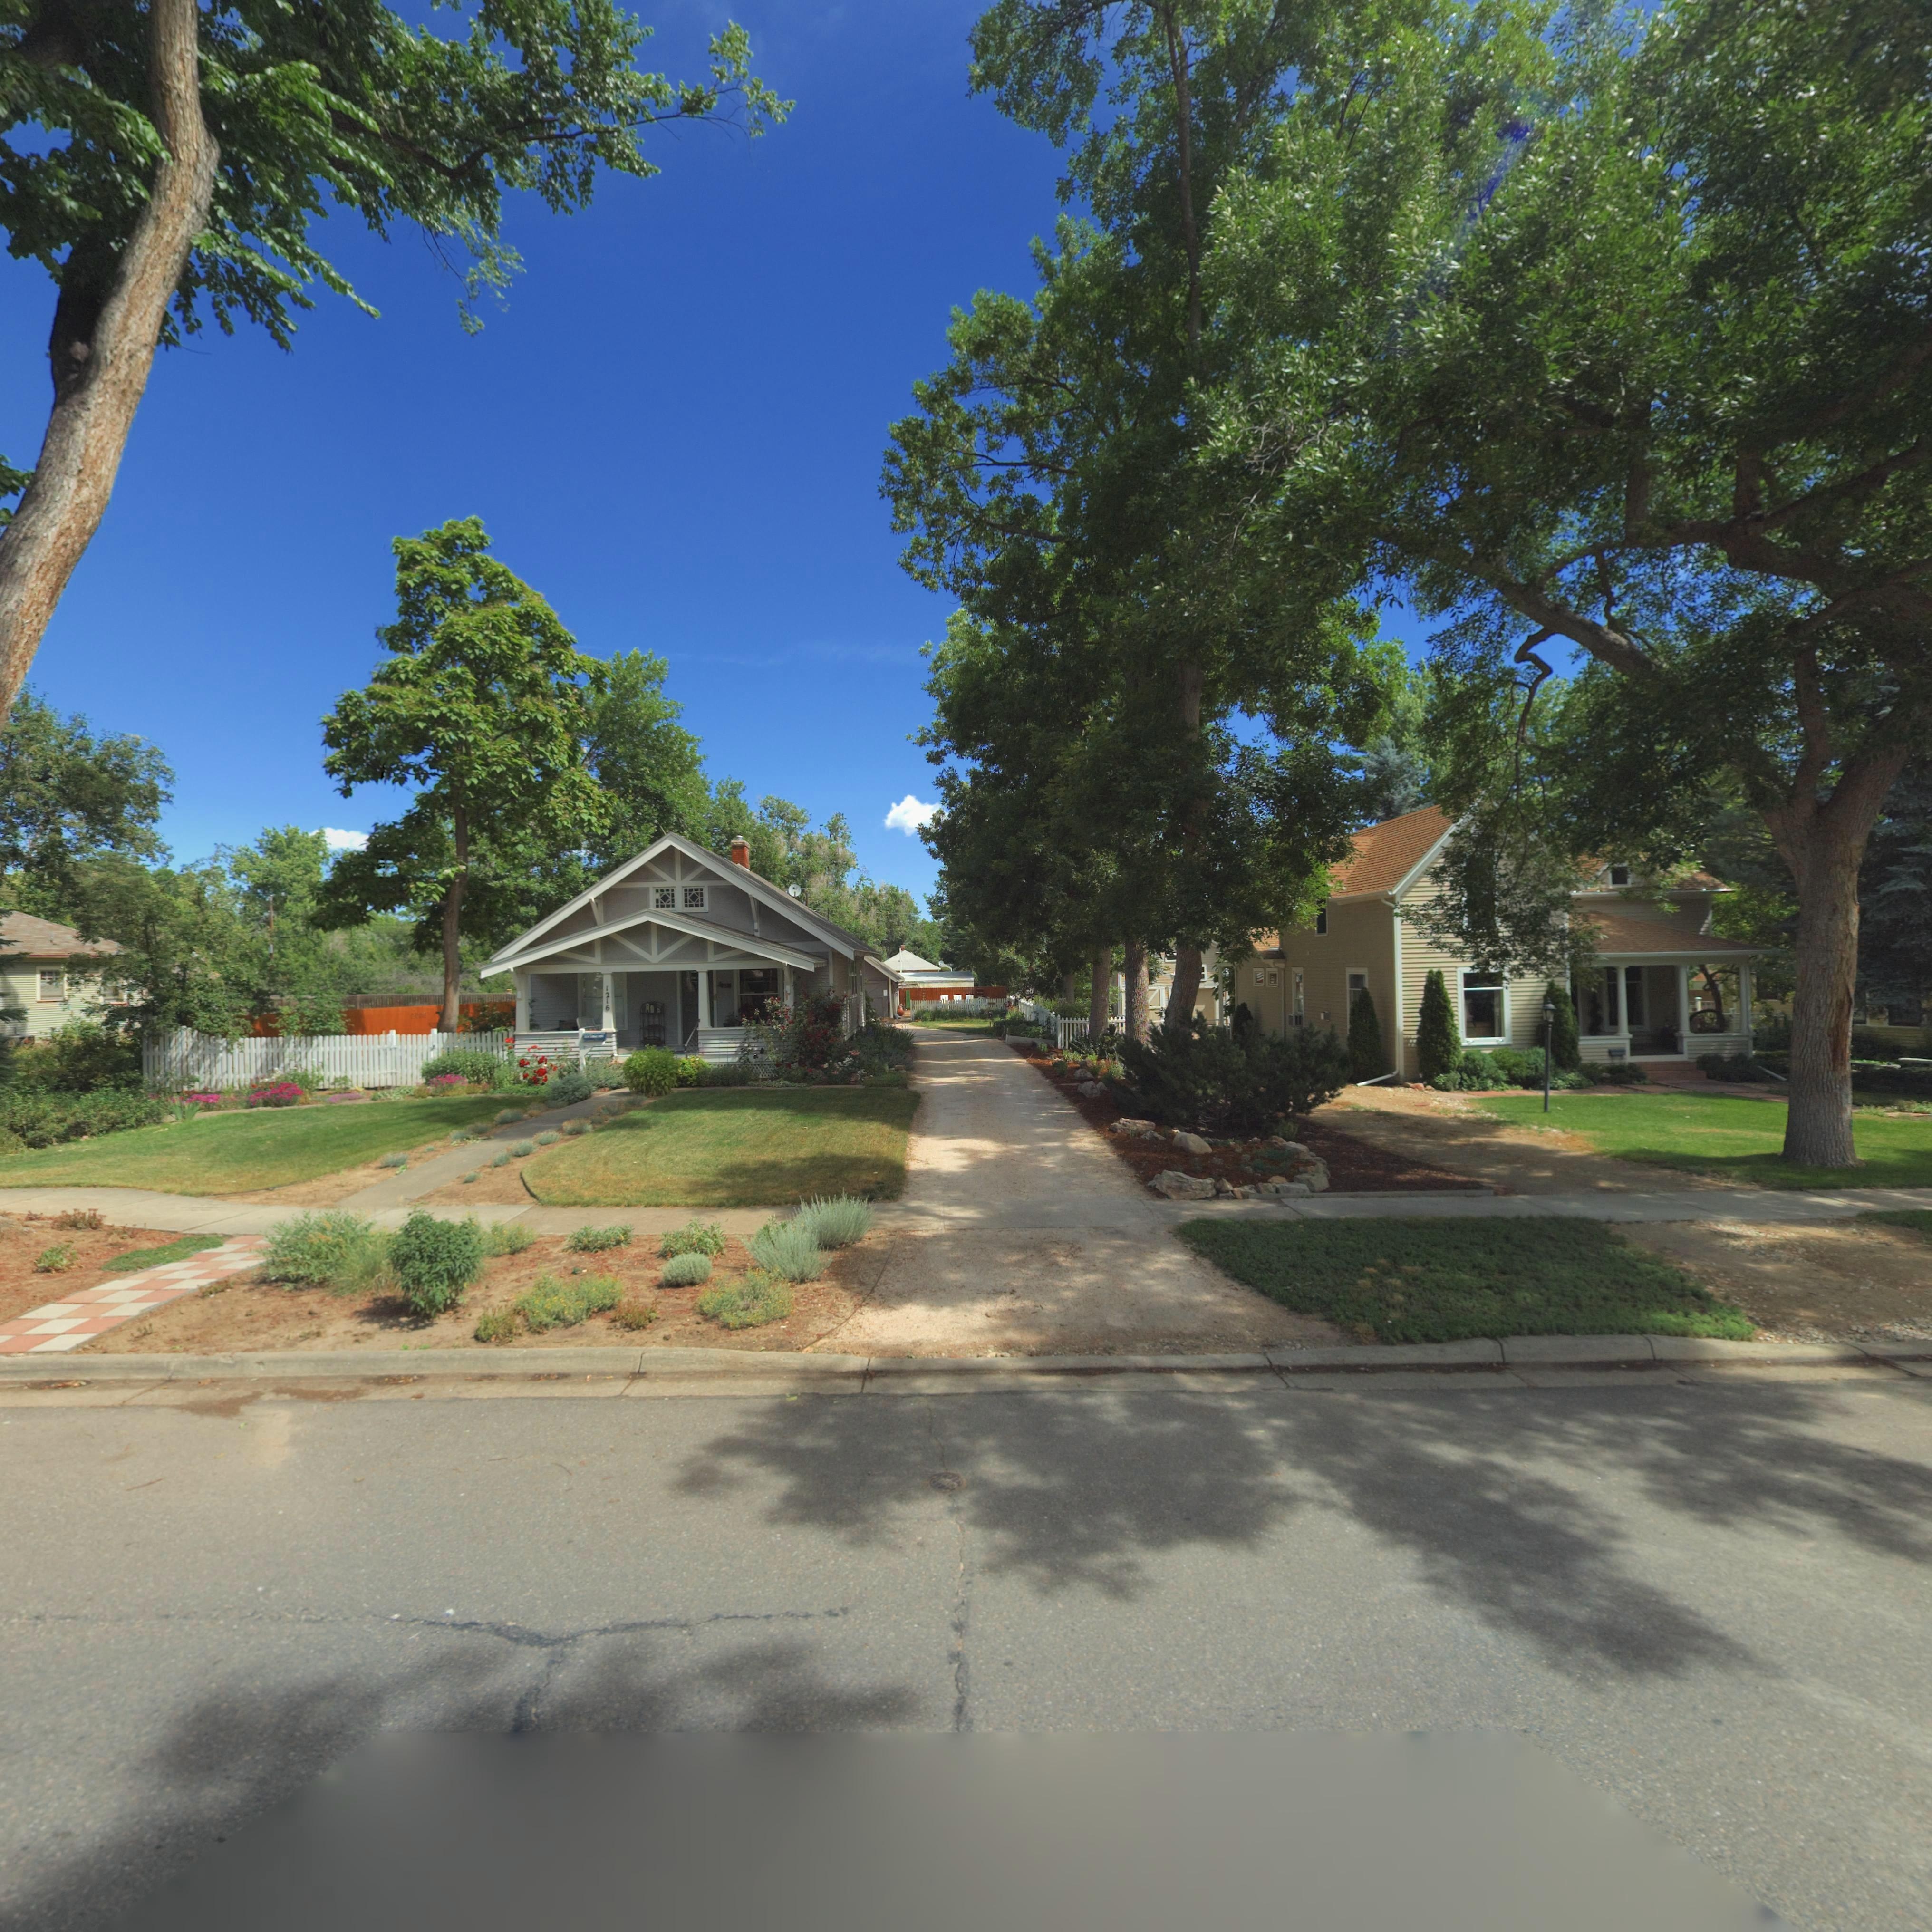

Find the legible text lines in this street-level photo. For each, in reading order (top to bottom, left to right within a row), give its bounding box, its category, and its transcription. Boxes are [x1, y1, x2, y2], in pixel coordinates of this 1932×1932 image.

[605, 985, 610, 1011] StreetNumber: 1216